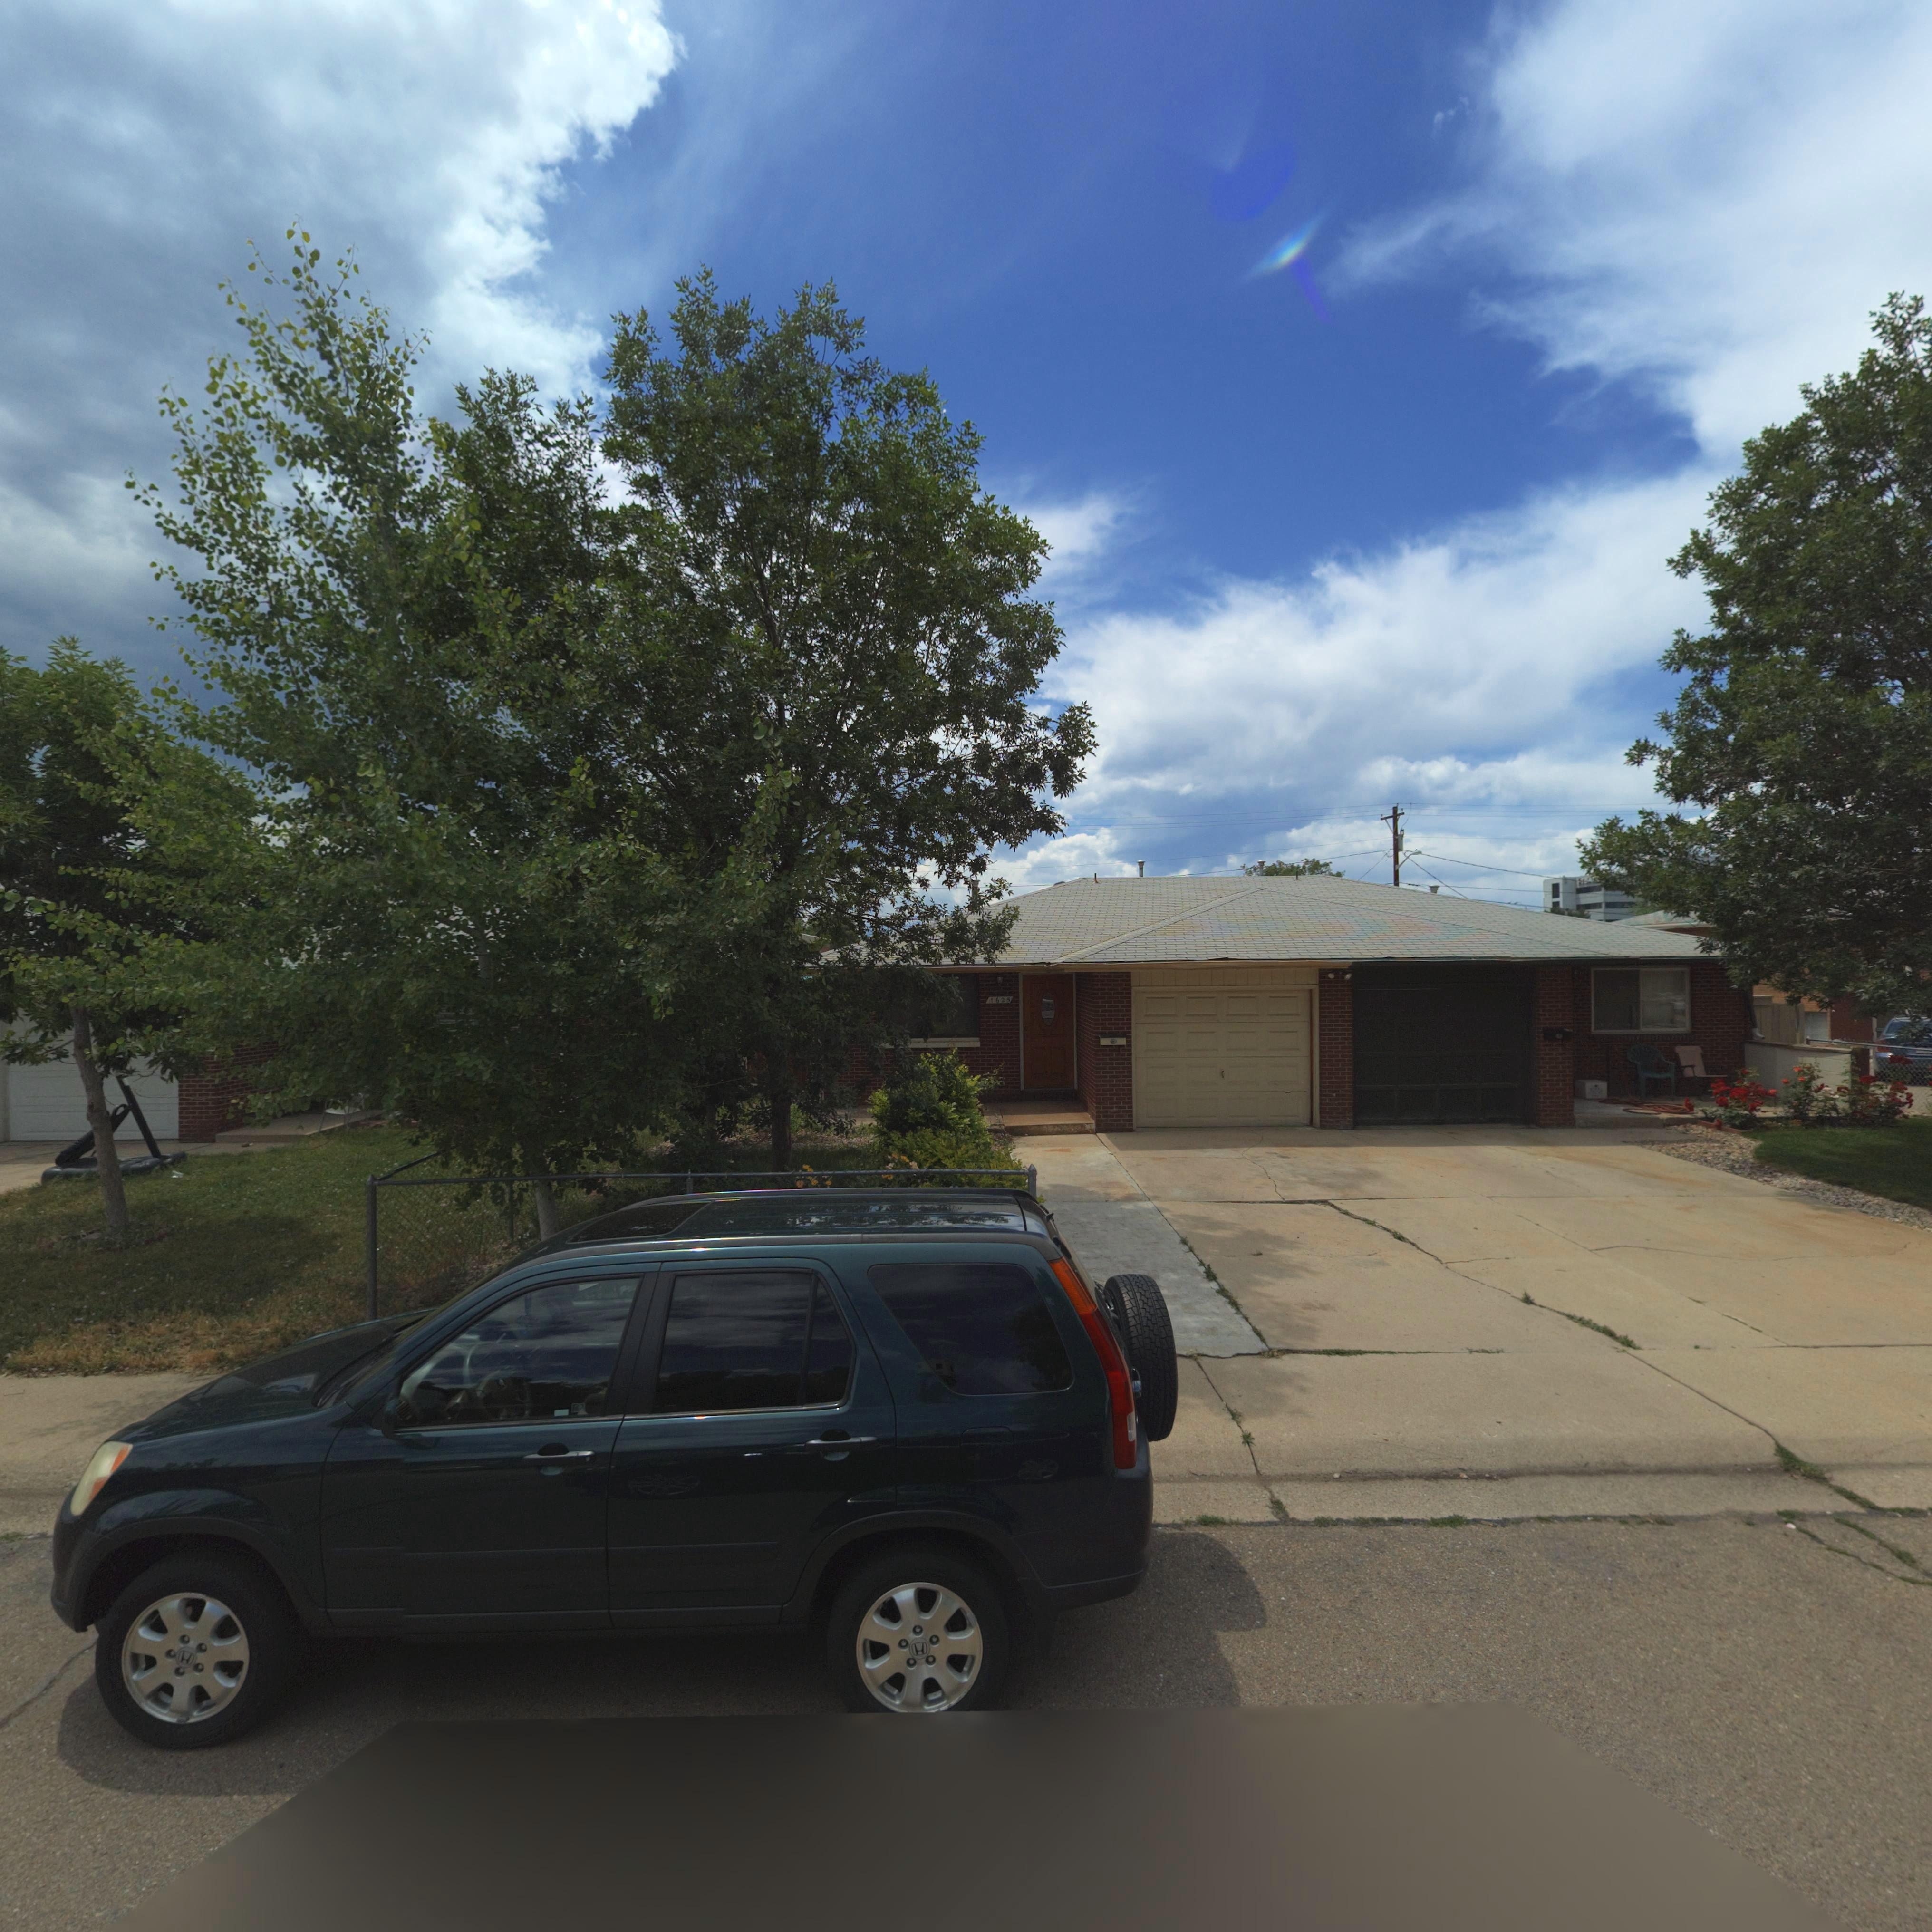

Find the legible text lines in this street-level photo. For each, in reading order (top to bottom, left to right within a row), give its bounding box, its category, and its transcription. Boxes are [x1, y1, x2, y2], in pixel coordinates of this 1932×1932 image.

[991, 997, 1011, 1003] StreetNumber: 1625